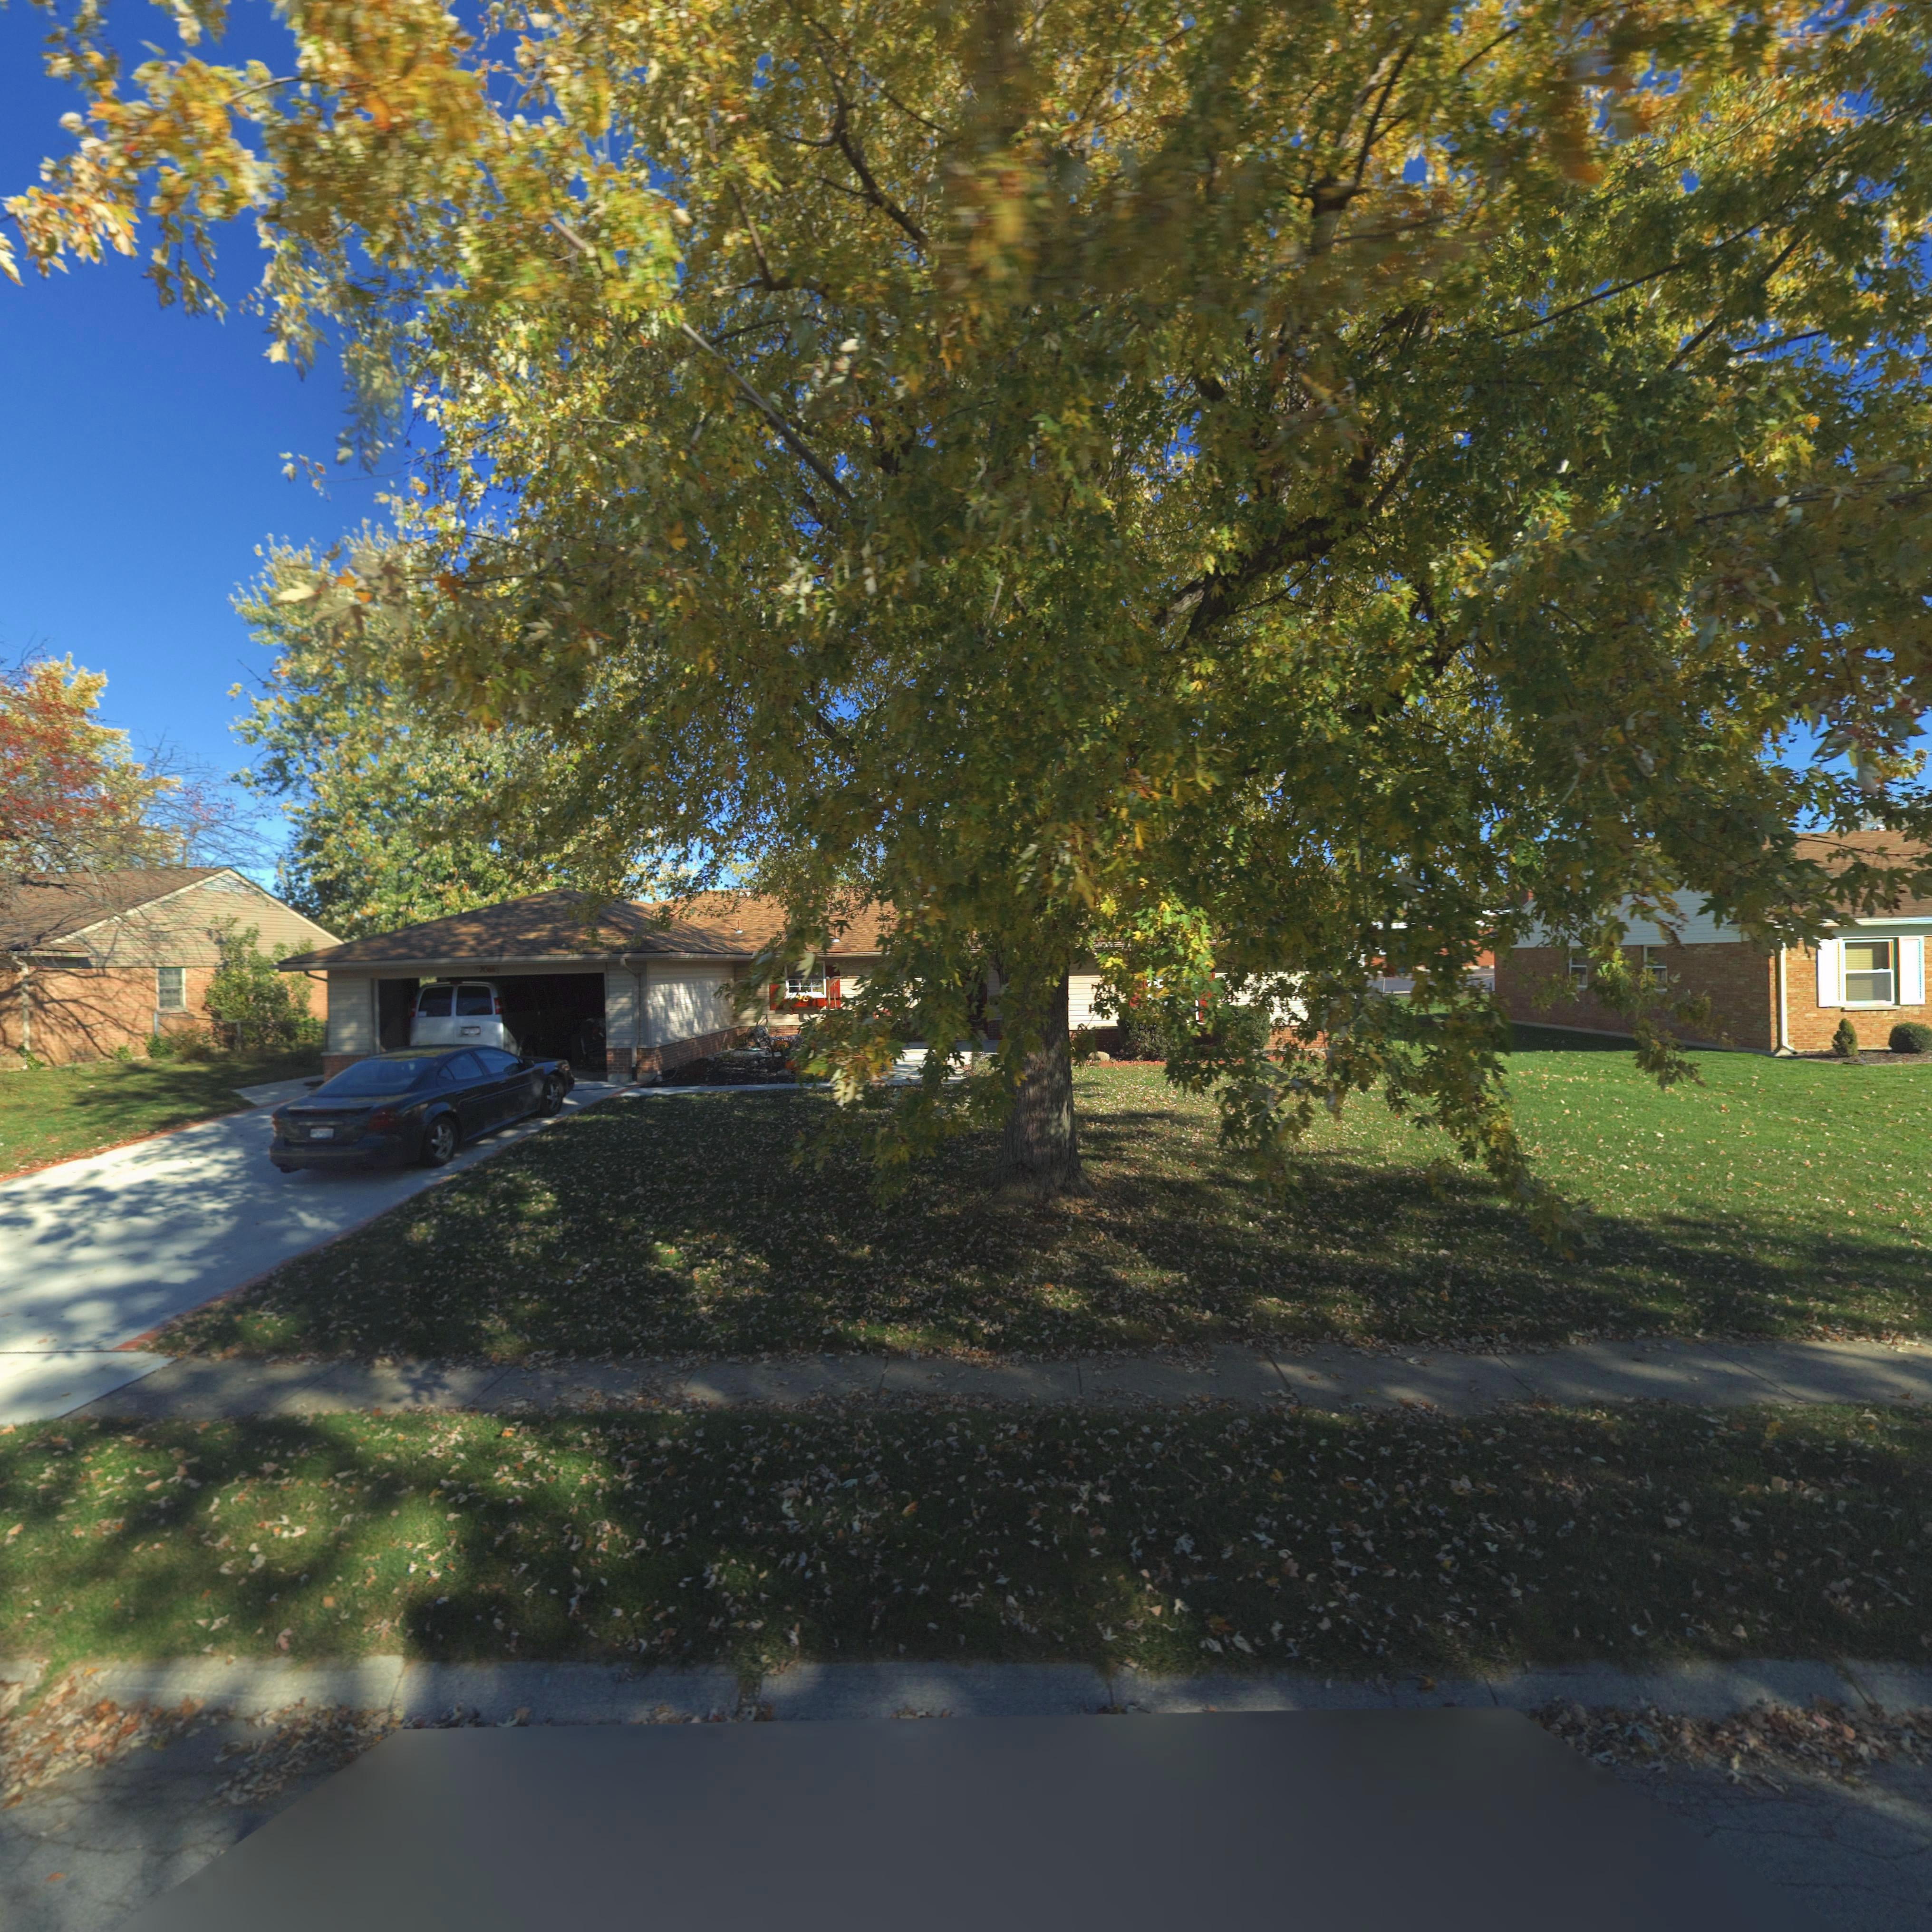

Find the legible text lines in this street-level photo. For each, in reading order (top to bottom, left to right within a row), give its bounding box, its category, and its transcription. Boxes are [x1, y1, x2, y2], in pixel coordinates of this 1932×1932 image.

[478, 966, 500, 974] StreetNumber: 70**